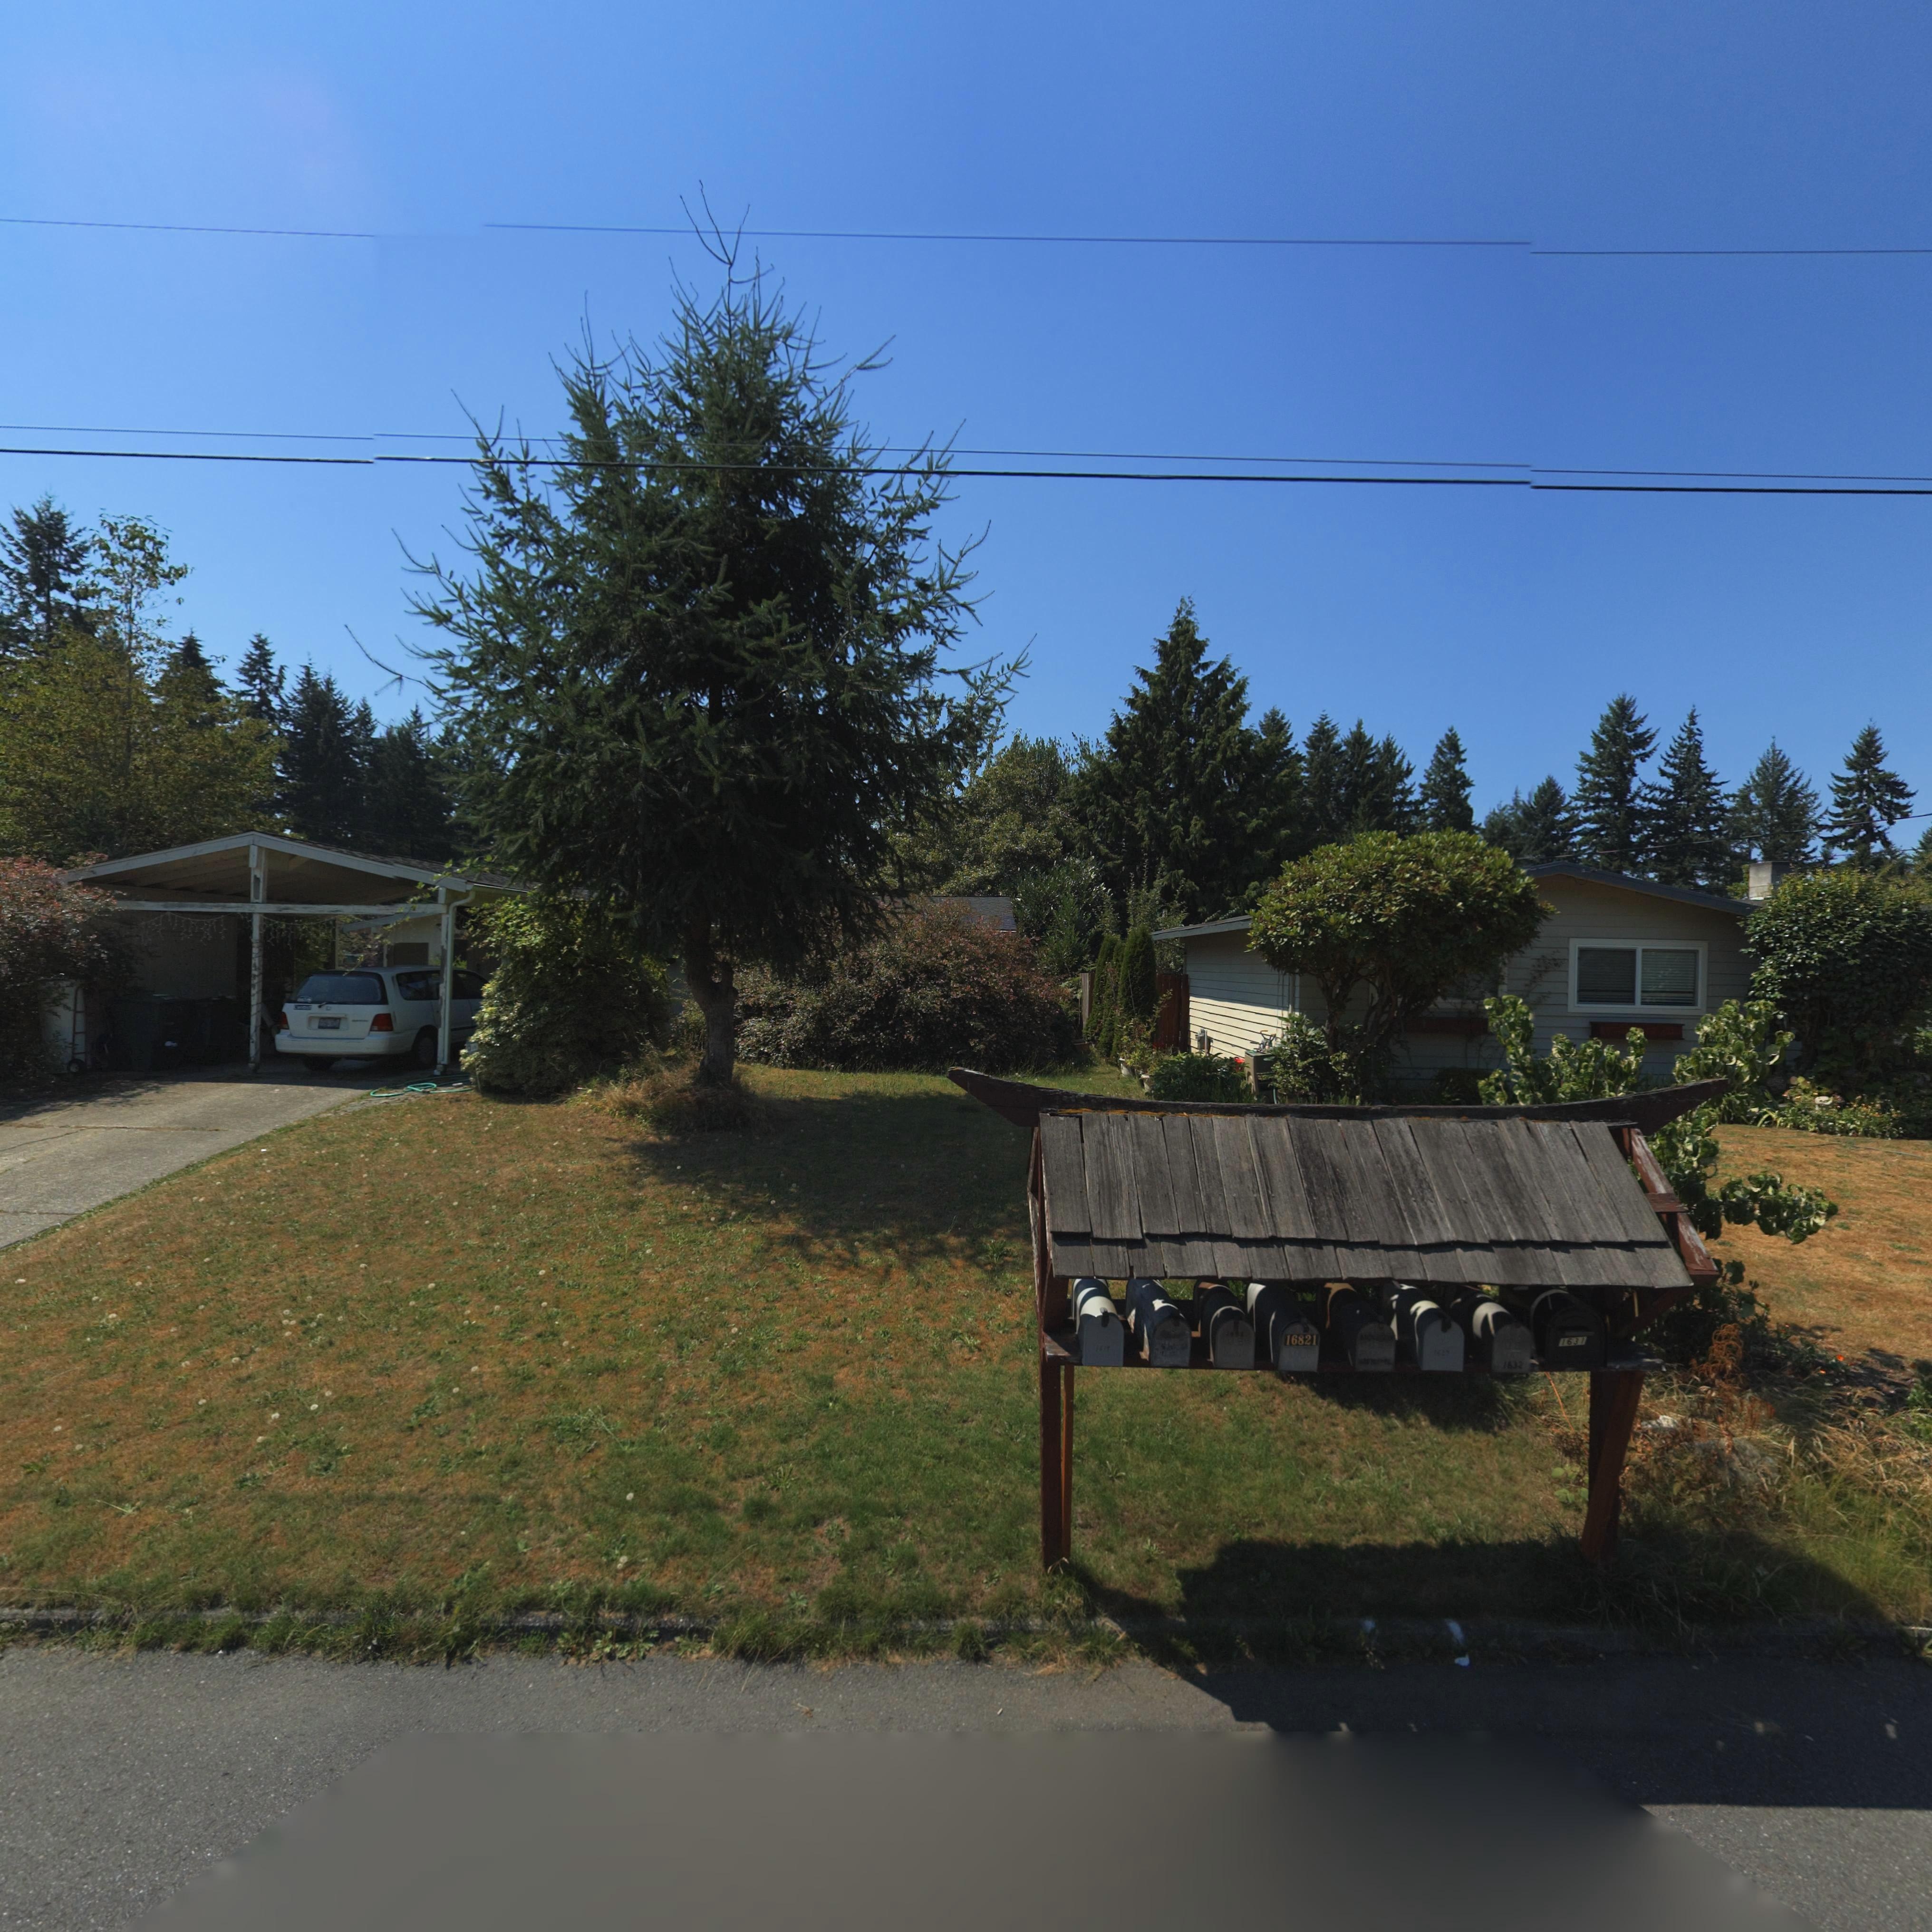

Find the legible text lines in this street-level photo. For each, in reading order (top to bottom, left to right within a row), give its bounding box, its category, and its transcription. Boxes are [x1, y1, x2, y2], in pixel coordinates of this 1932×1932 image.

[1285, 1334, 1317, 1346] StreetNumber: 16821
[1559, 1337, 1586, 1346] StreetNumber: 1631
[1502, 1360, 1523, 1370] StreetNumber: 1632